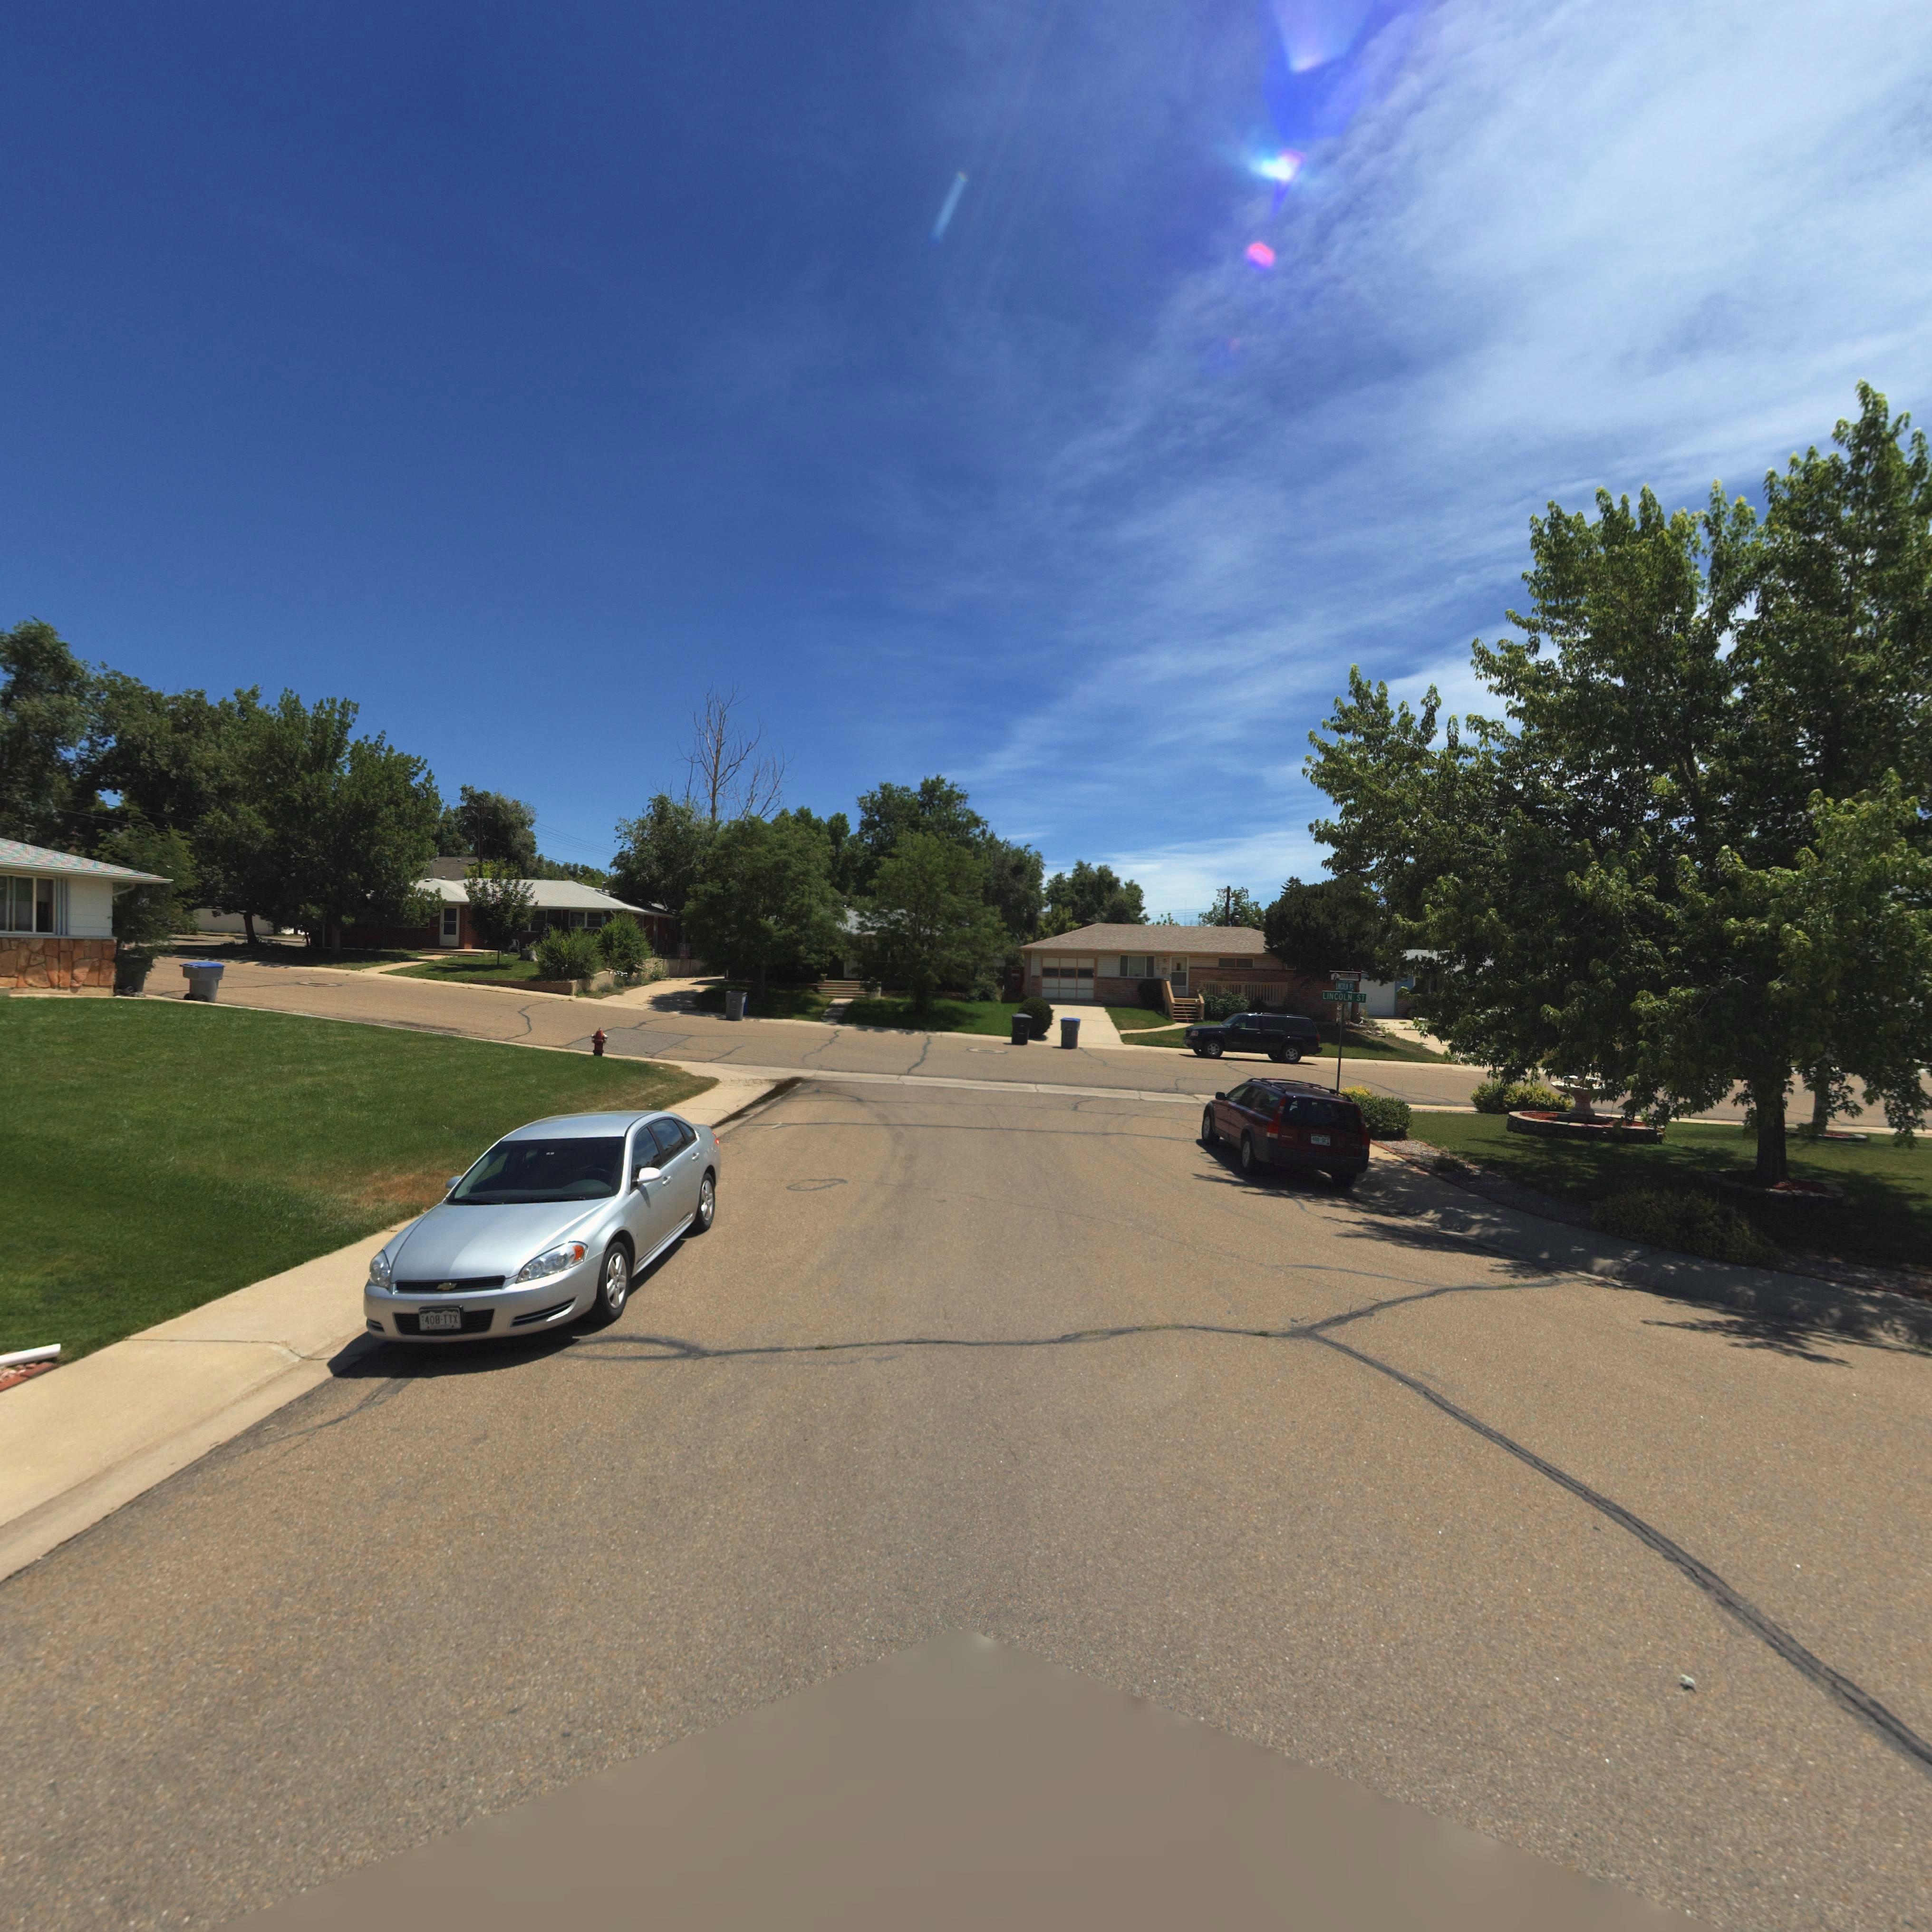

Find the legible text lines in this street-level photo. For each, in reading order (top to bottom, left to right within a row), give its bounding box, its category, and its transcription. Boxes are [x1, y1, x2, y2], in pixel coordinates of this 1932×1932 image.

[1336, 982, 1353, 991] StreetName: LINCOLN PL
[1323, 992, 1365, 1001] StreetName: LINCOLN ST